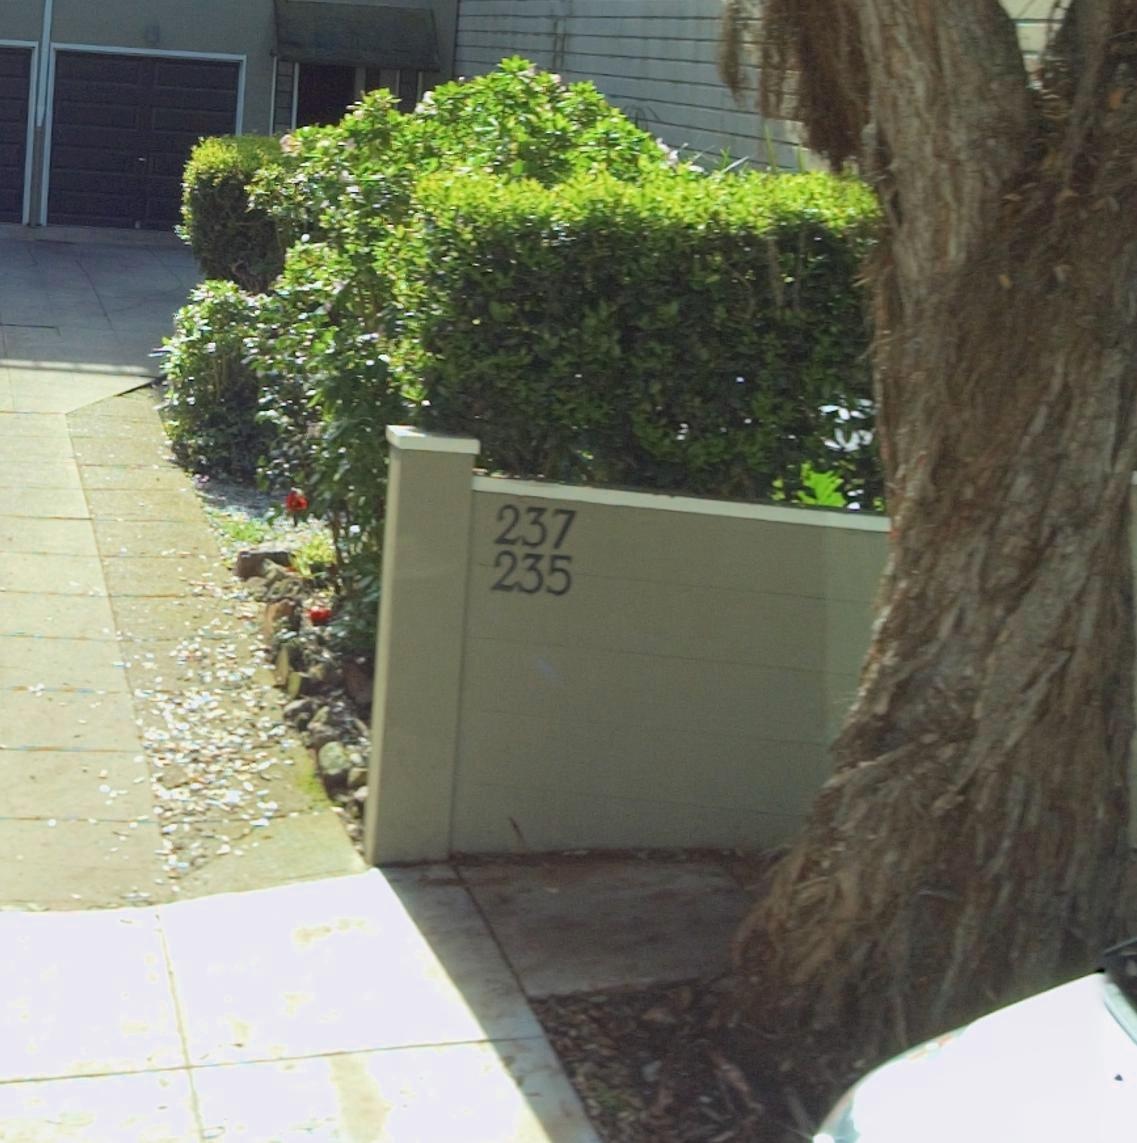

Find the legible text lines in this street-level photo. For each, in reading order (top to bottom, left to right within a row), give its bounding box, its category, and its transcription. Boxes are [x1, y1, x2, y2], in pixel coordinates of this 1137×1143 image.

[491, 502, 580, 551] StreetNumber: 237
[487, 547, 576, 601] StreetNumber: 235